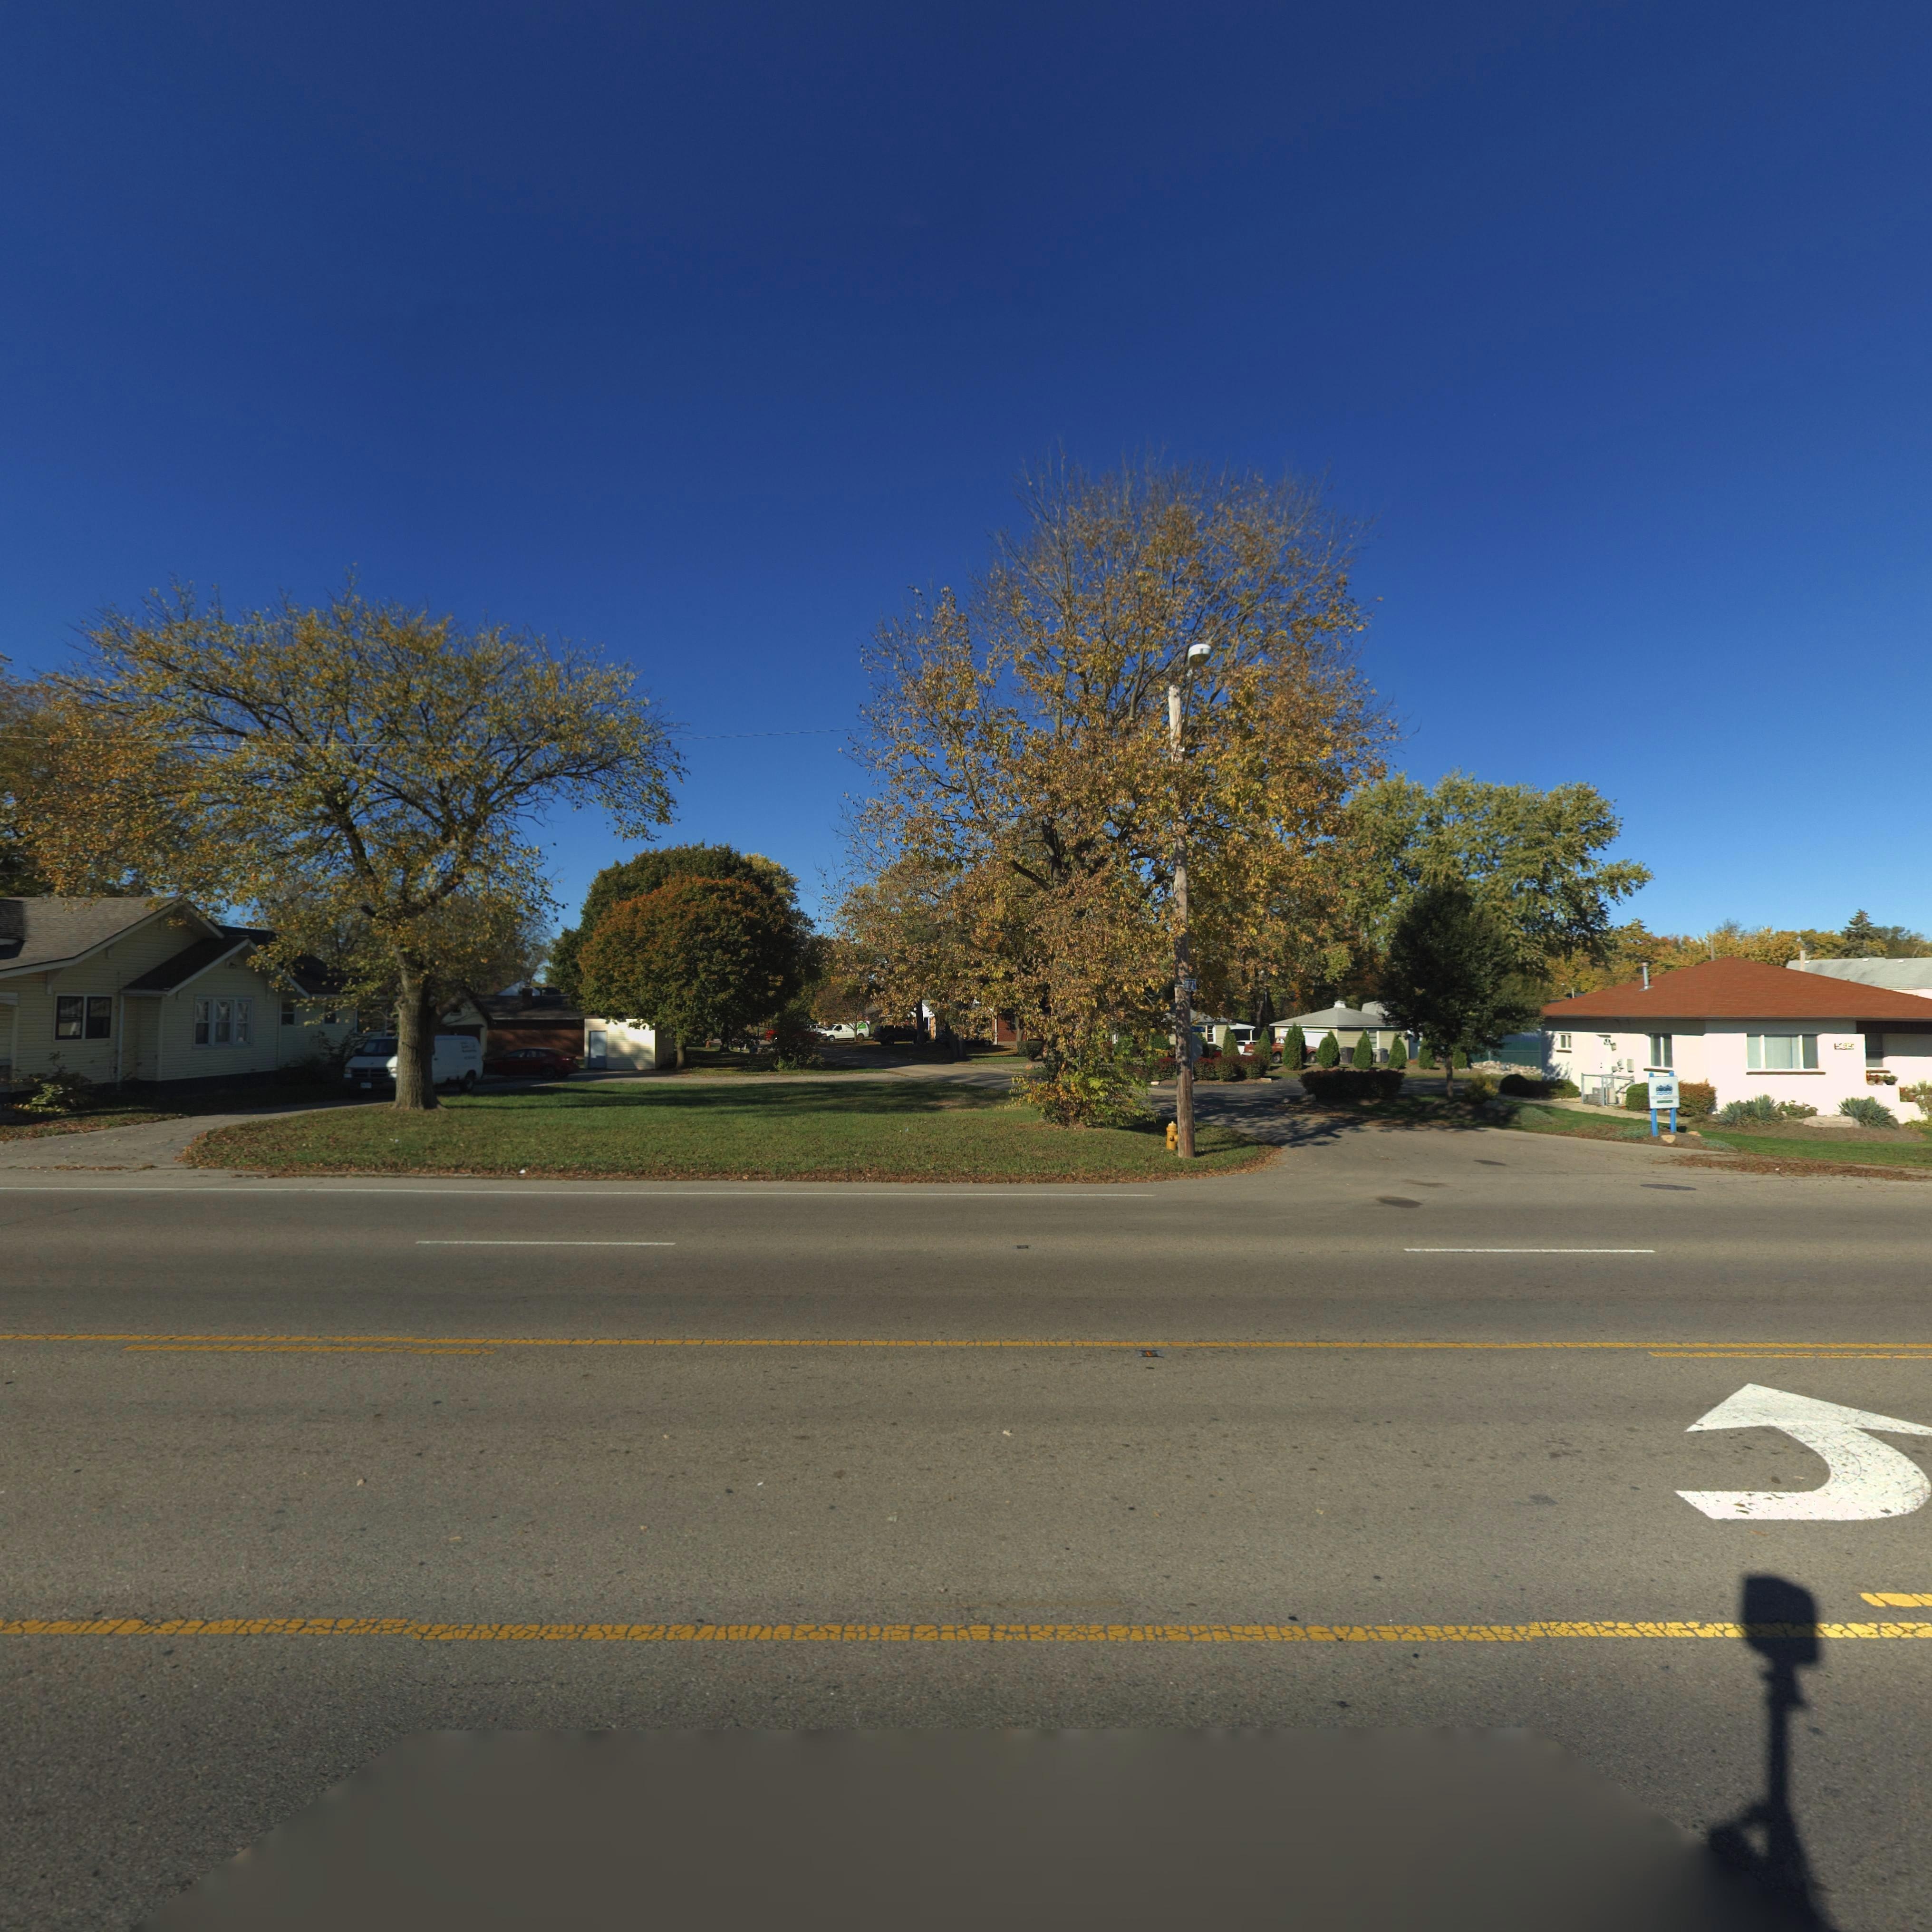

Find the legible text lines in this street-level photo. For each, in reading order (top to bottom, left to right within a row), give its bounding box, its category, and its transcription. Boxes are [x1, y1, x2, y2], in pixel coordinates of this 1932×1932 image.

[1835, 1042, 1854, 1049] StreetNumber: 56*5